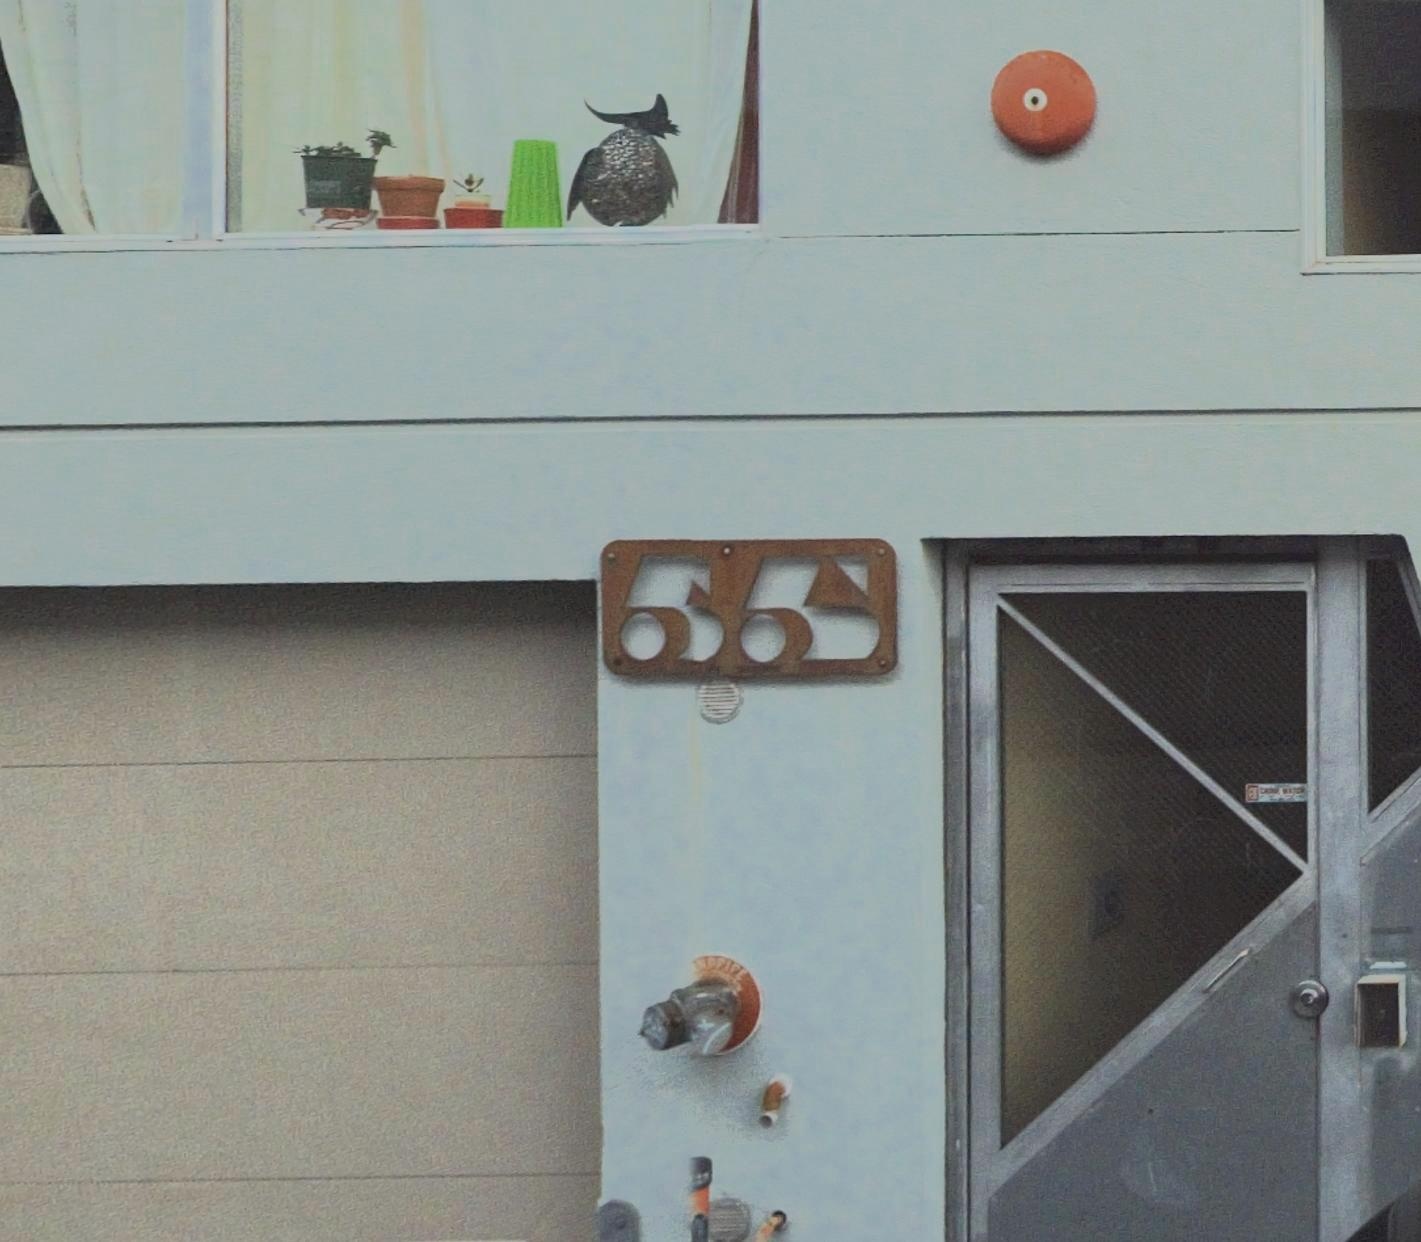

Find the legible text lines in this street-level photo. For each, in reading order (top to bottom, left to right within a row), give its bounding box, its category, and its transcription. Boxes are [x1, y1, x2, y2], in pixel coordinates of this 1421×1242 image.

[614, 549, 882, 666] StreetNumber: 55